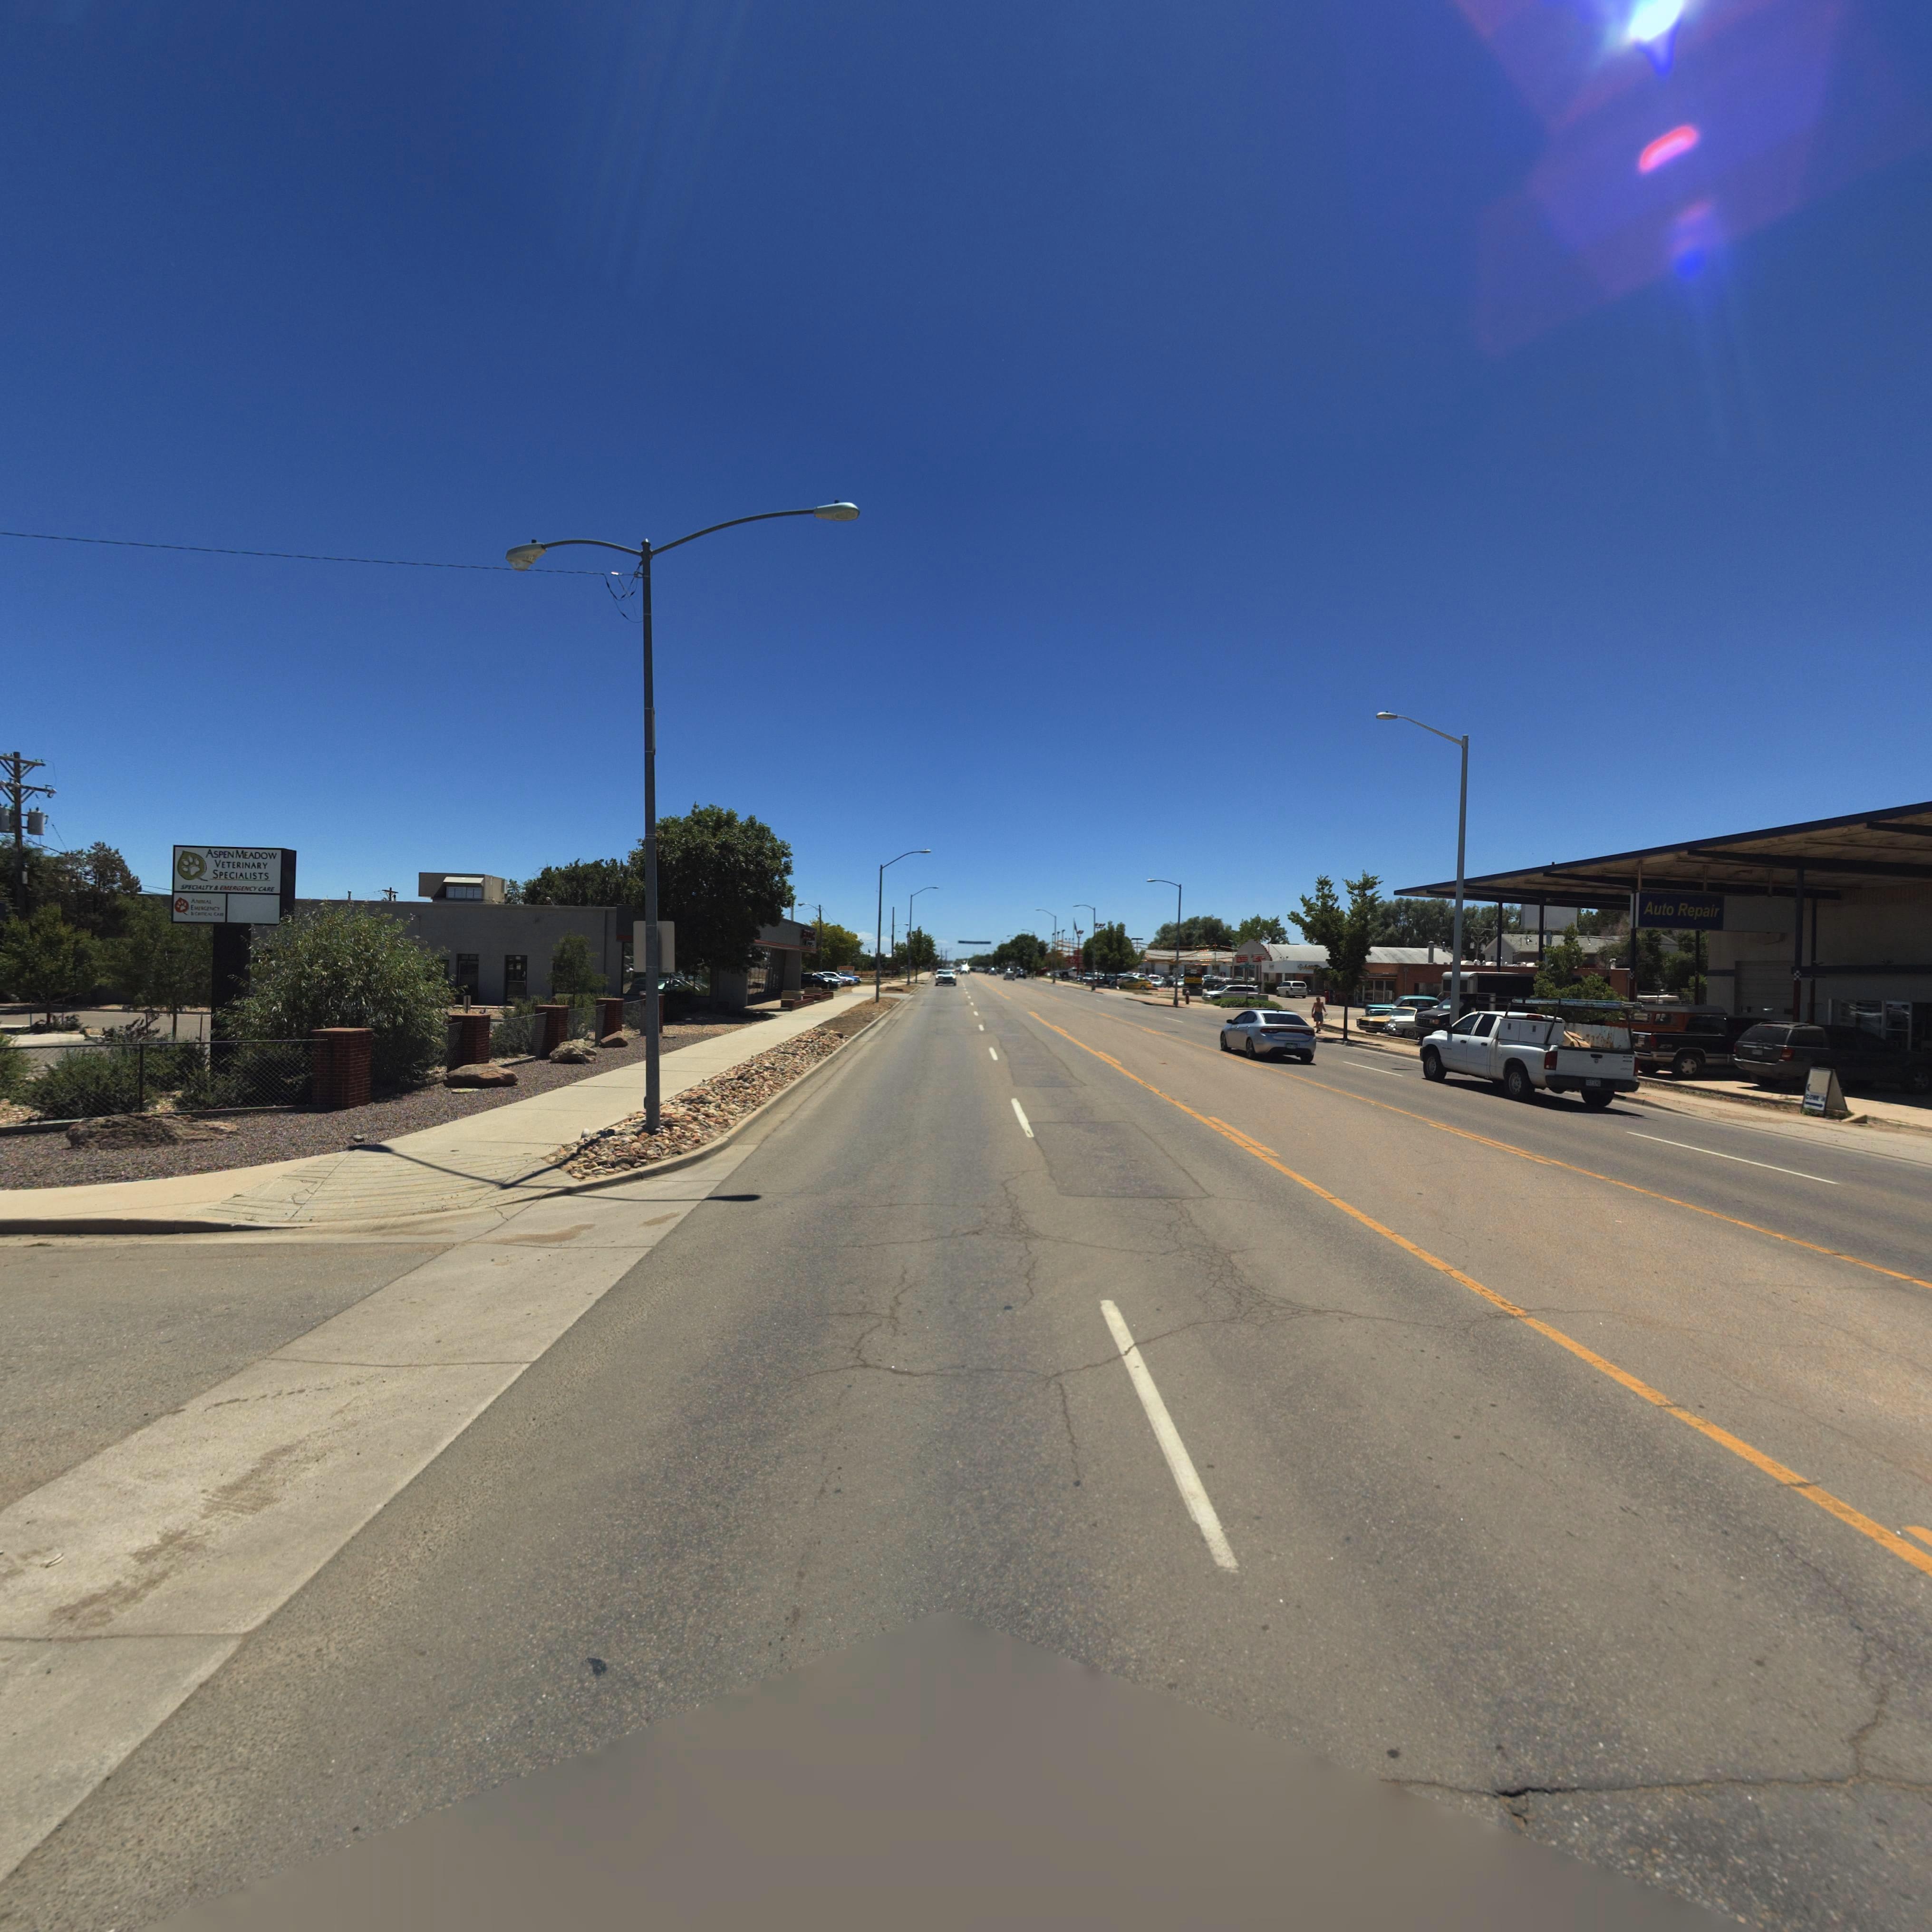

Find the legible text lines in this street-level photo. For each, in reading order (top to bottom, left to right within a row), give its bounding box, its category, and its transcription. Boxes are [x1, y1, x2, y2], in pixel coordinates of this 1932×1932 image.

[204, 848, 278, 860] BusinessName: ASPEN MEADOW
[213, 859, 268, 869] BusinessName: VETERINARY
[212, 869, 269, 880] BusinessName: SPECIALISTS
[802, 928, 815, 941] BusinessName: BOO**
[1304, 963, 1314, 967] BusinessName: L**